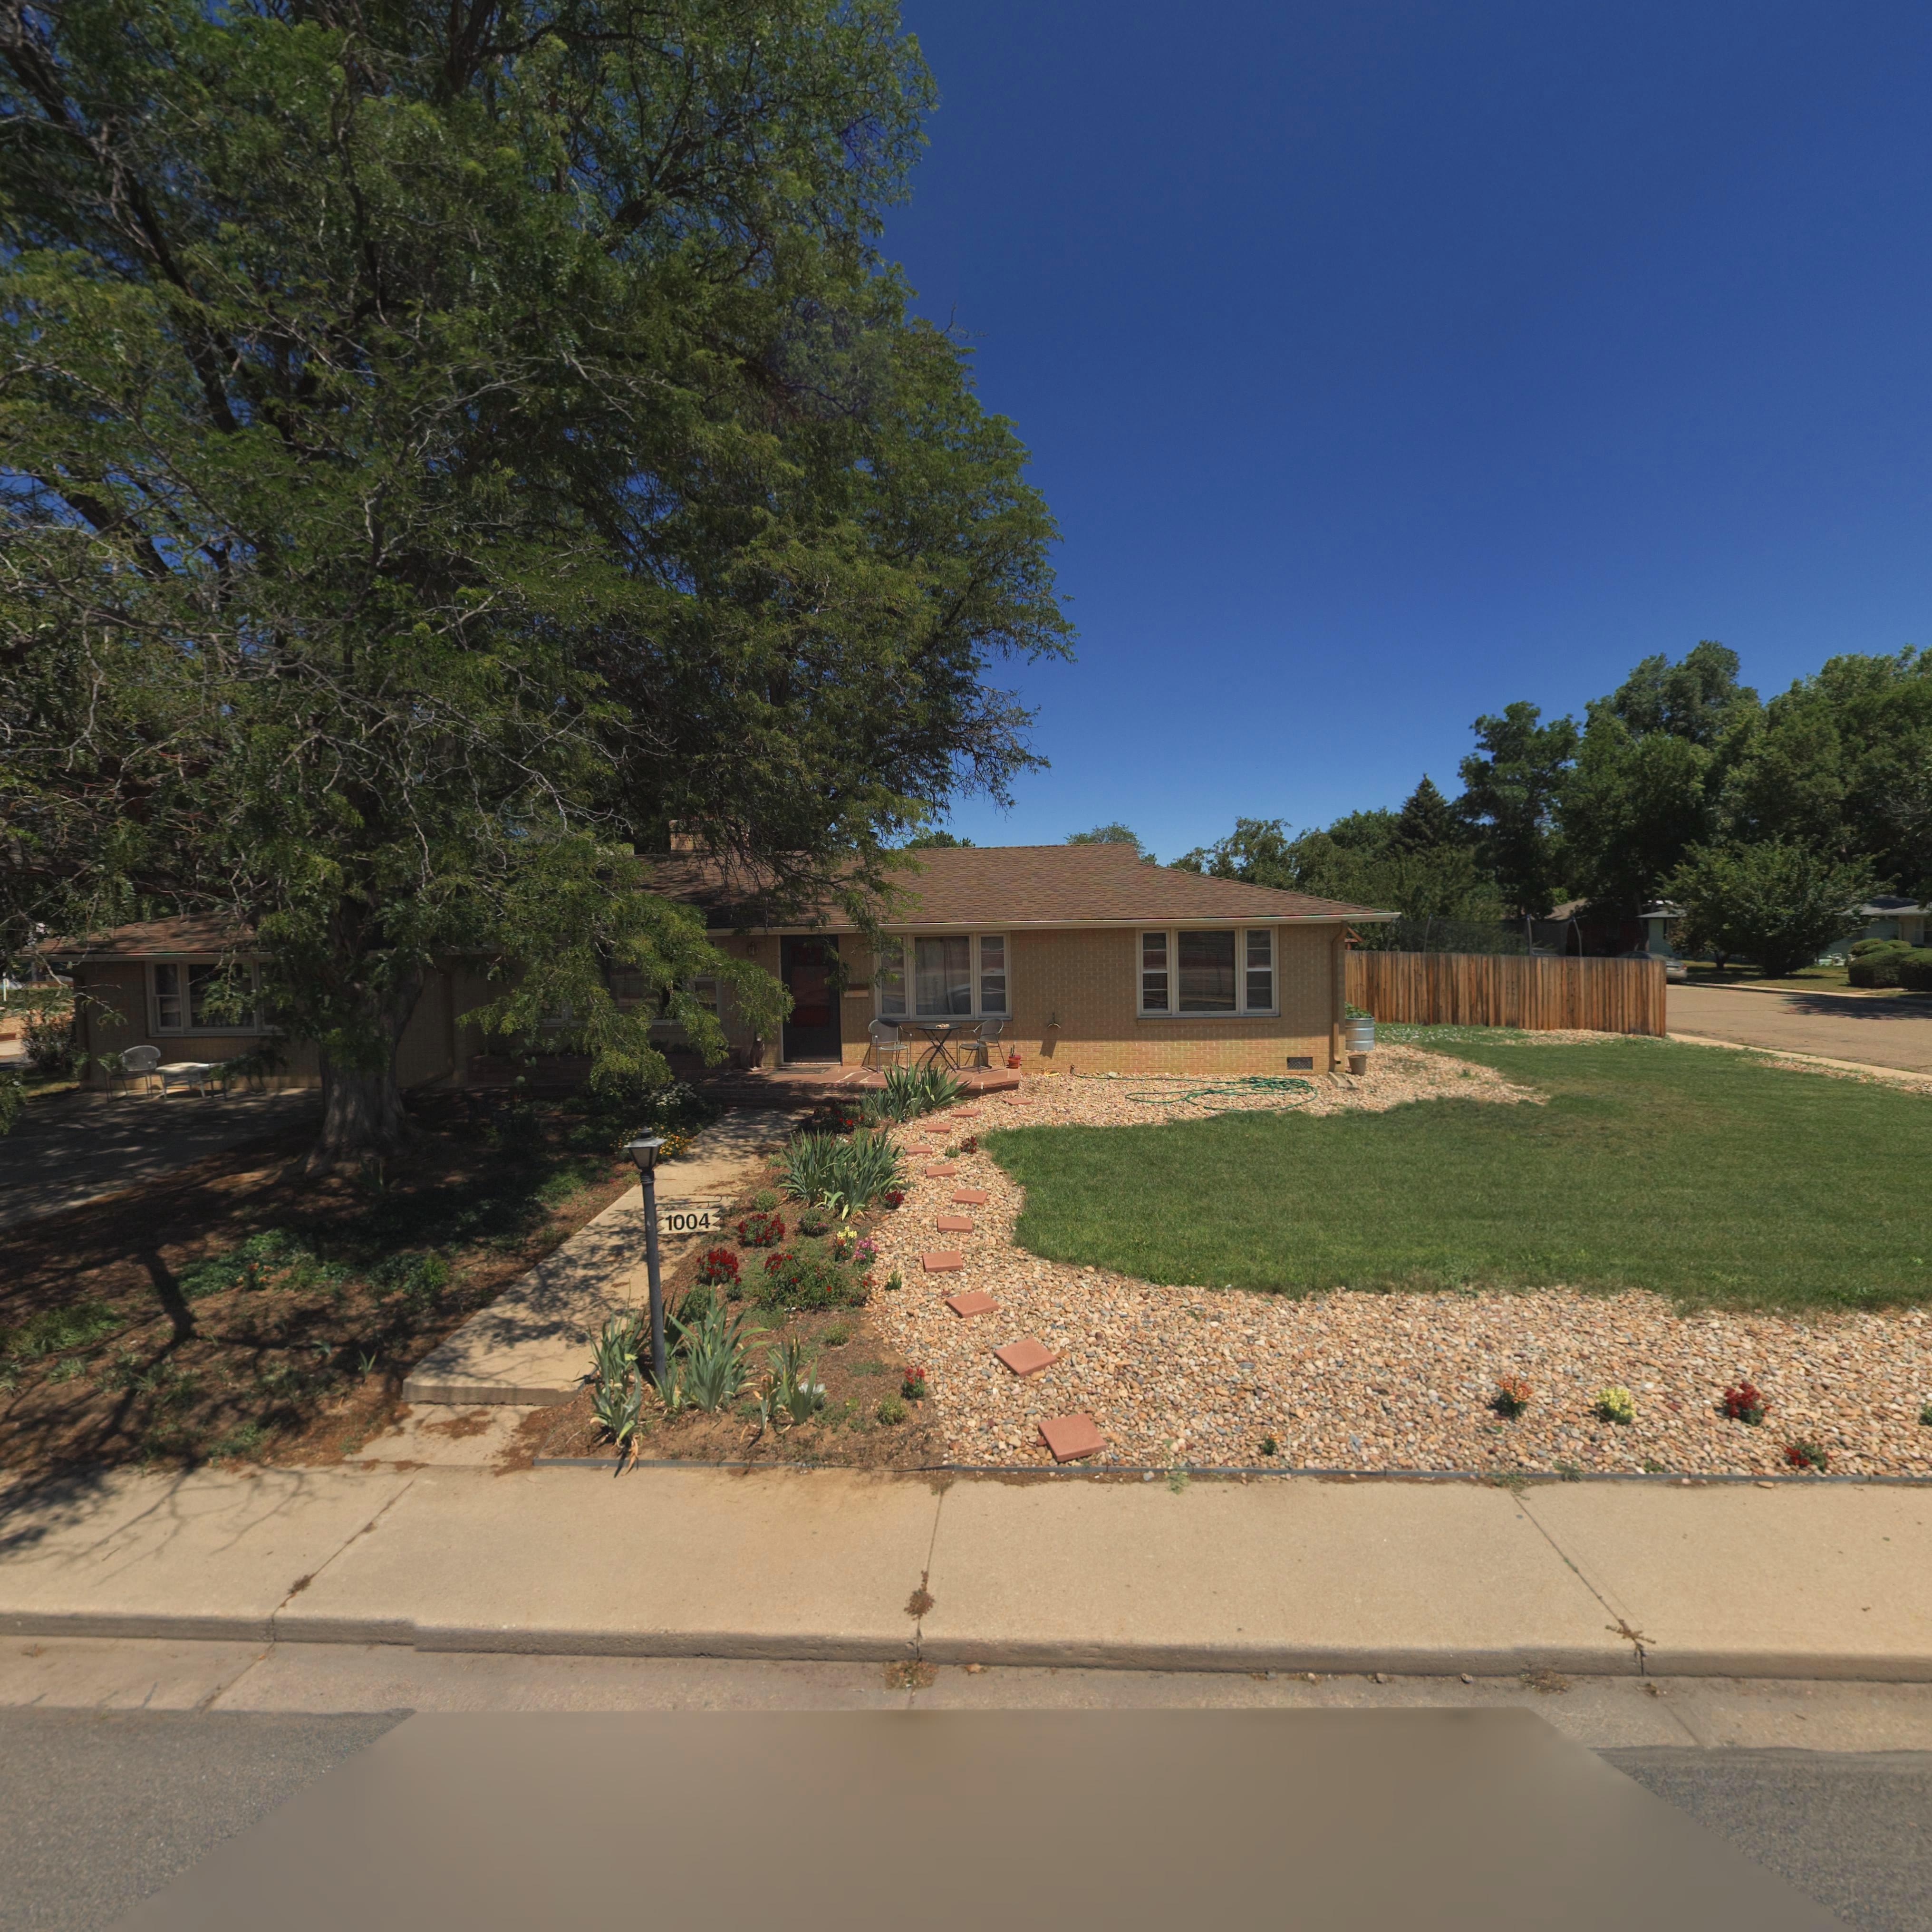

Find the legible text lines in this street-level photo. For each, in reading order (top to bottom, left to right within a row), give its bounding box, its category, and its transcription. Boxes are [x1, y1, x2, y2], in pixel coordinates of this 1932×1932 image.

[664, 1212, 711, 1231] StreetNumber: 1004